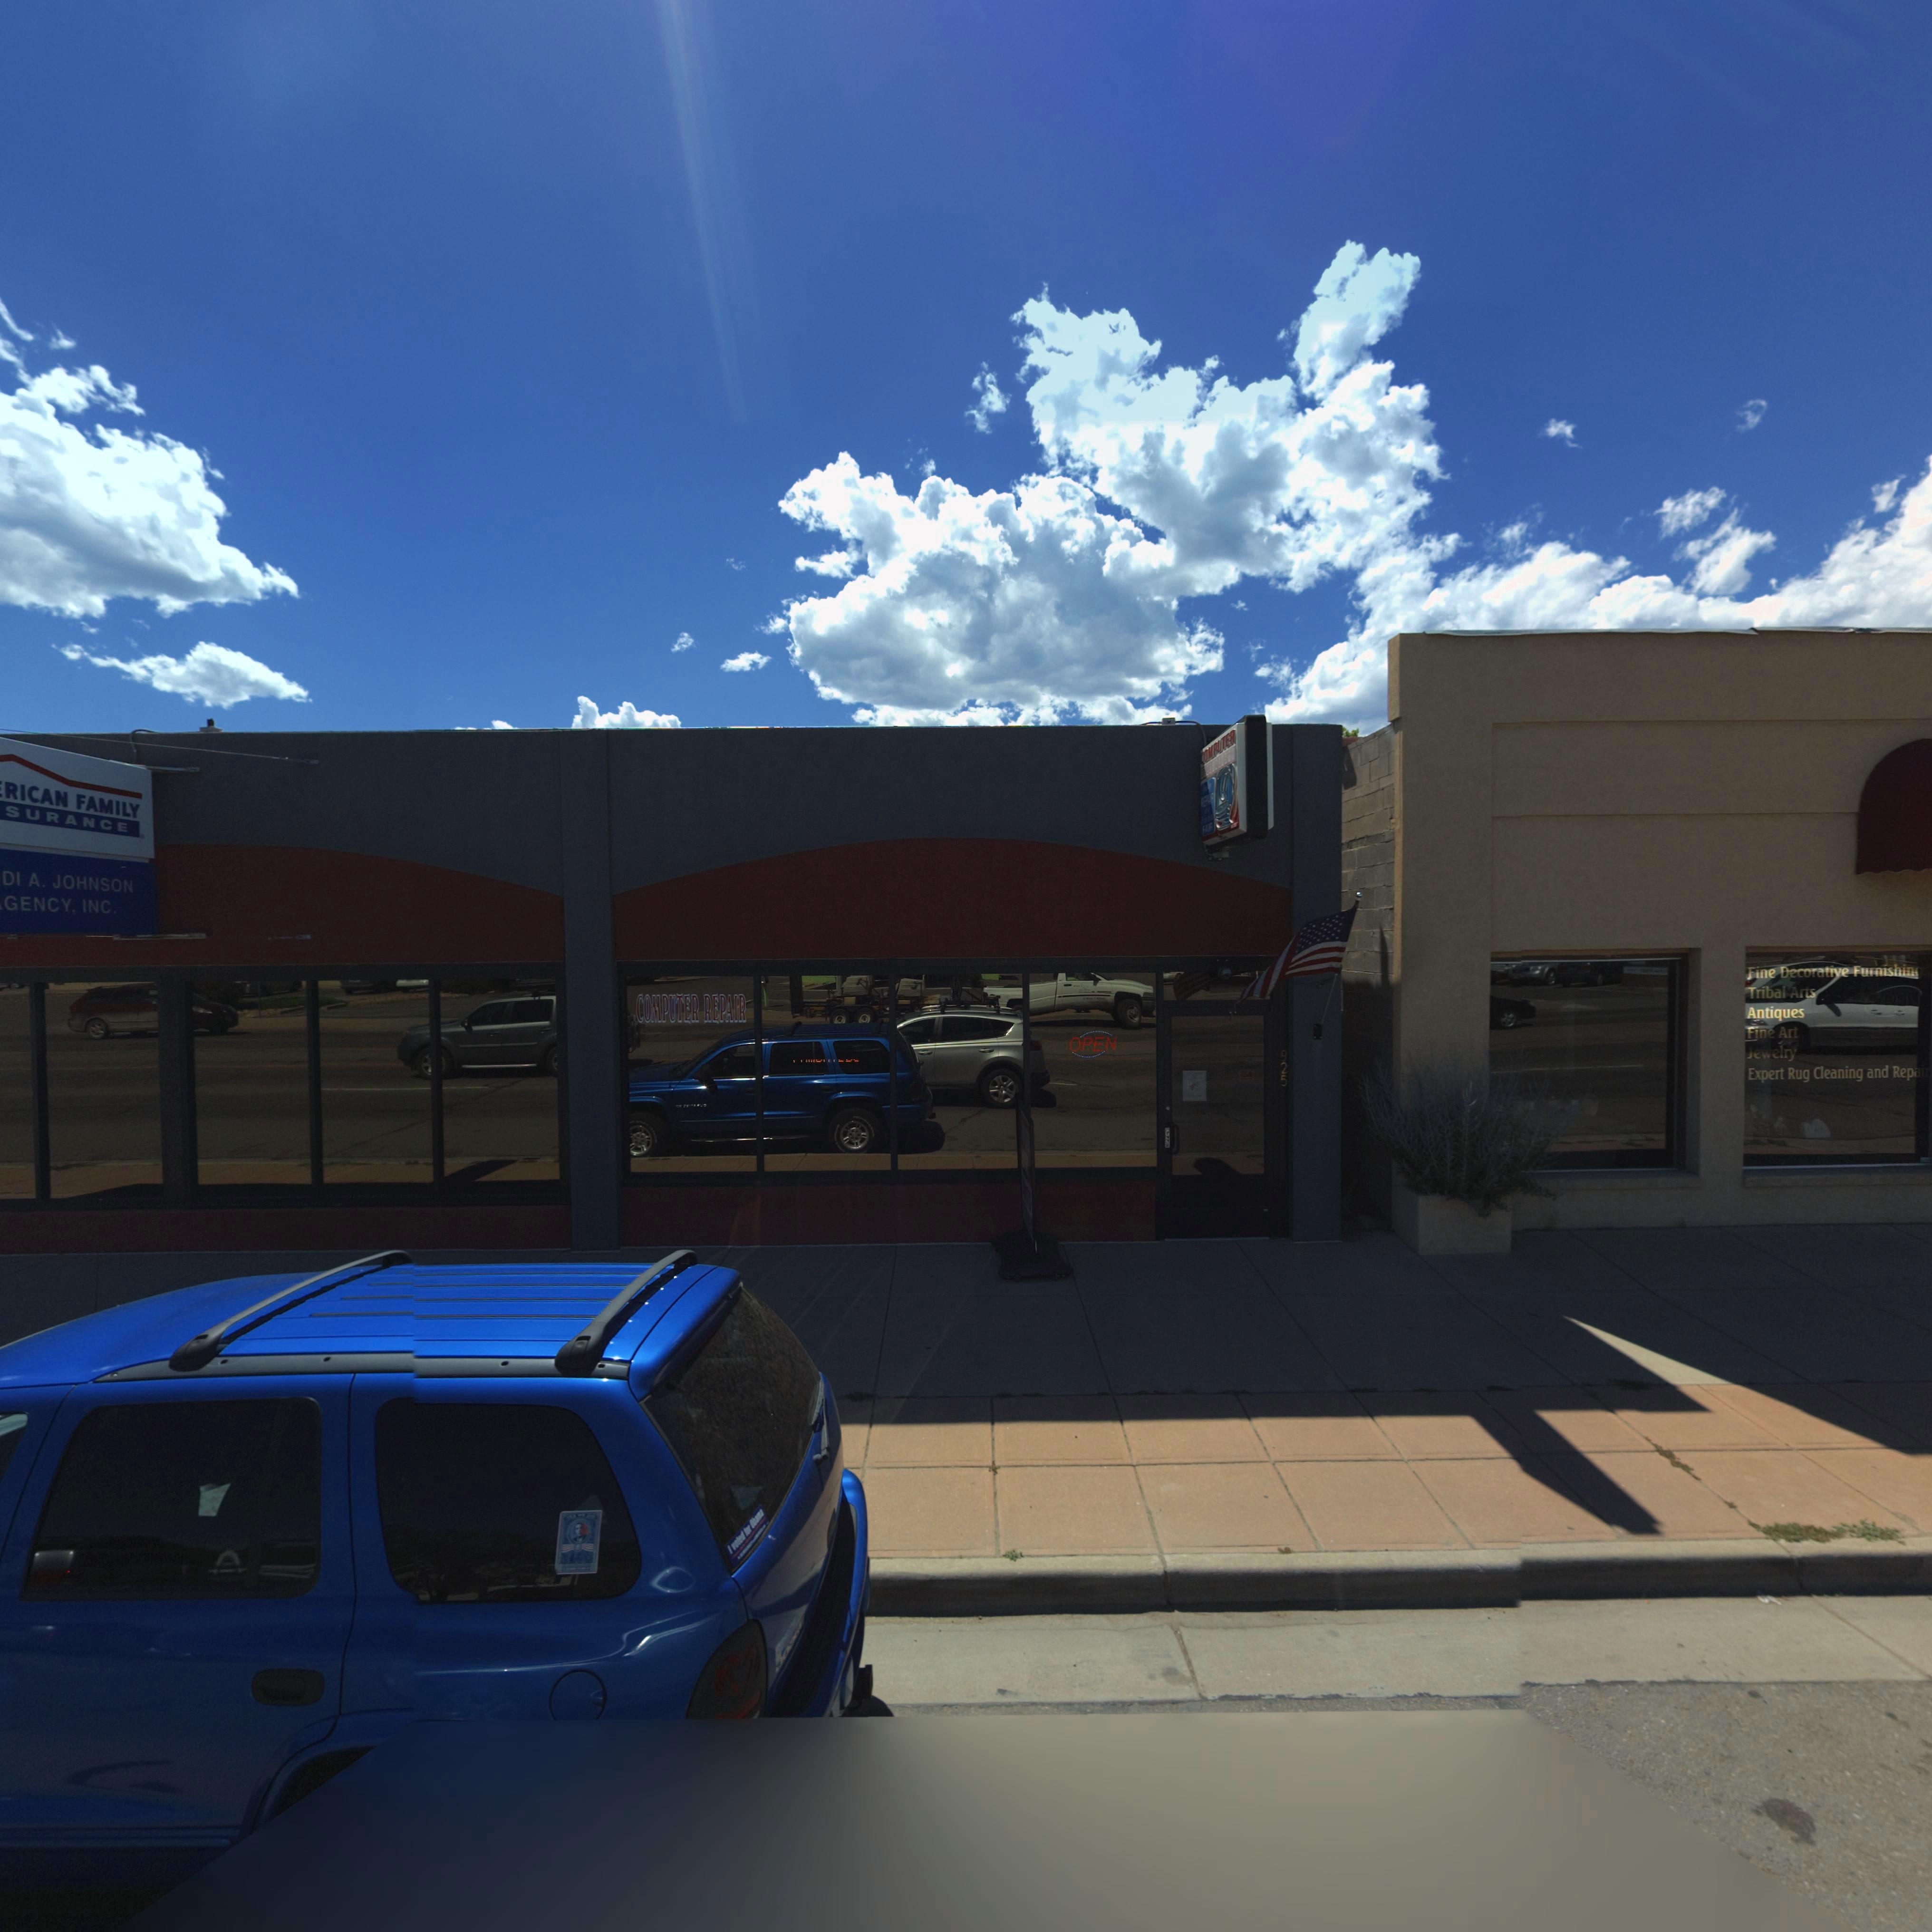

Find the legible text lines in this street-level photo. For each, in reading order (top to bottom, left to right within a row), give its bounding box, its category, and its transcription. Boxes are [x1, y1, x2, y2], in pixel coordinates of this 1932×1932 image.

[1200, 746, 1235, 781] BusinessName: ********STS
[1199, 729, 1236, 765] BusinessName: COMPUTER
[5, 781, 140, 818] BusinessName: RICAN FAMILY
[5, 805, 127, 832] BusinessName: SURANCE
[2, 870, 134, 893] BusinessName: DI A. JOHNSON
[4, 895, 117, 915] BusinessName: GENCY, INC
[1280, 1049, 1287, 1086] StreetNumber: 925